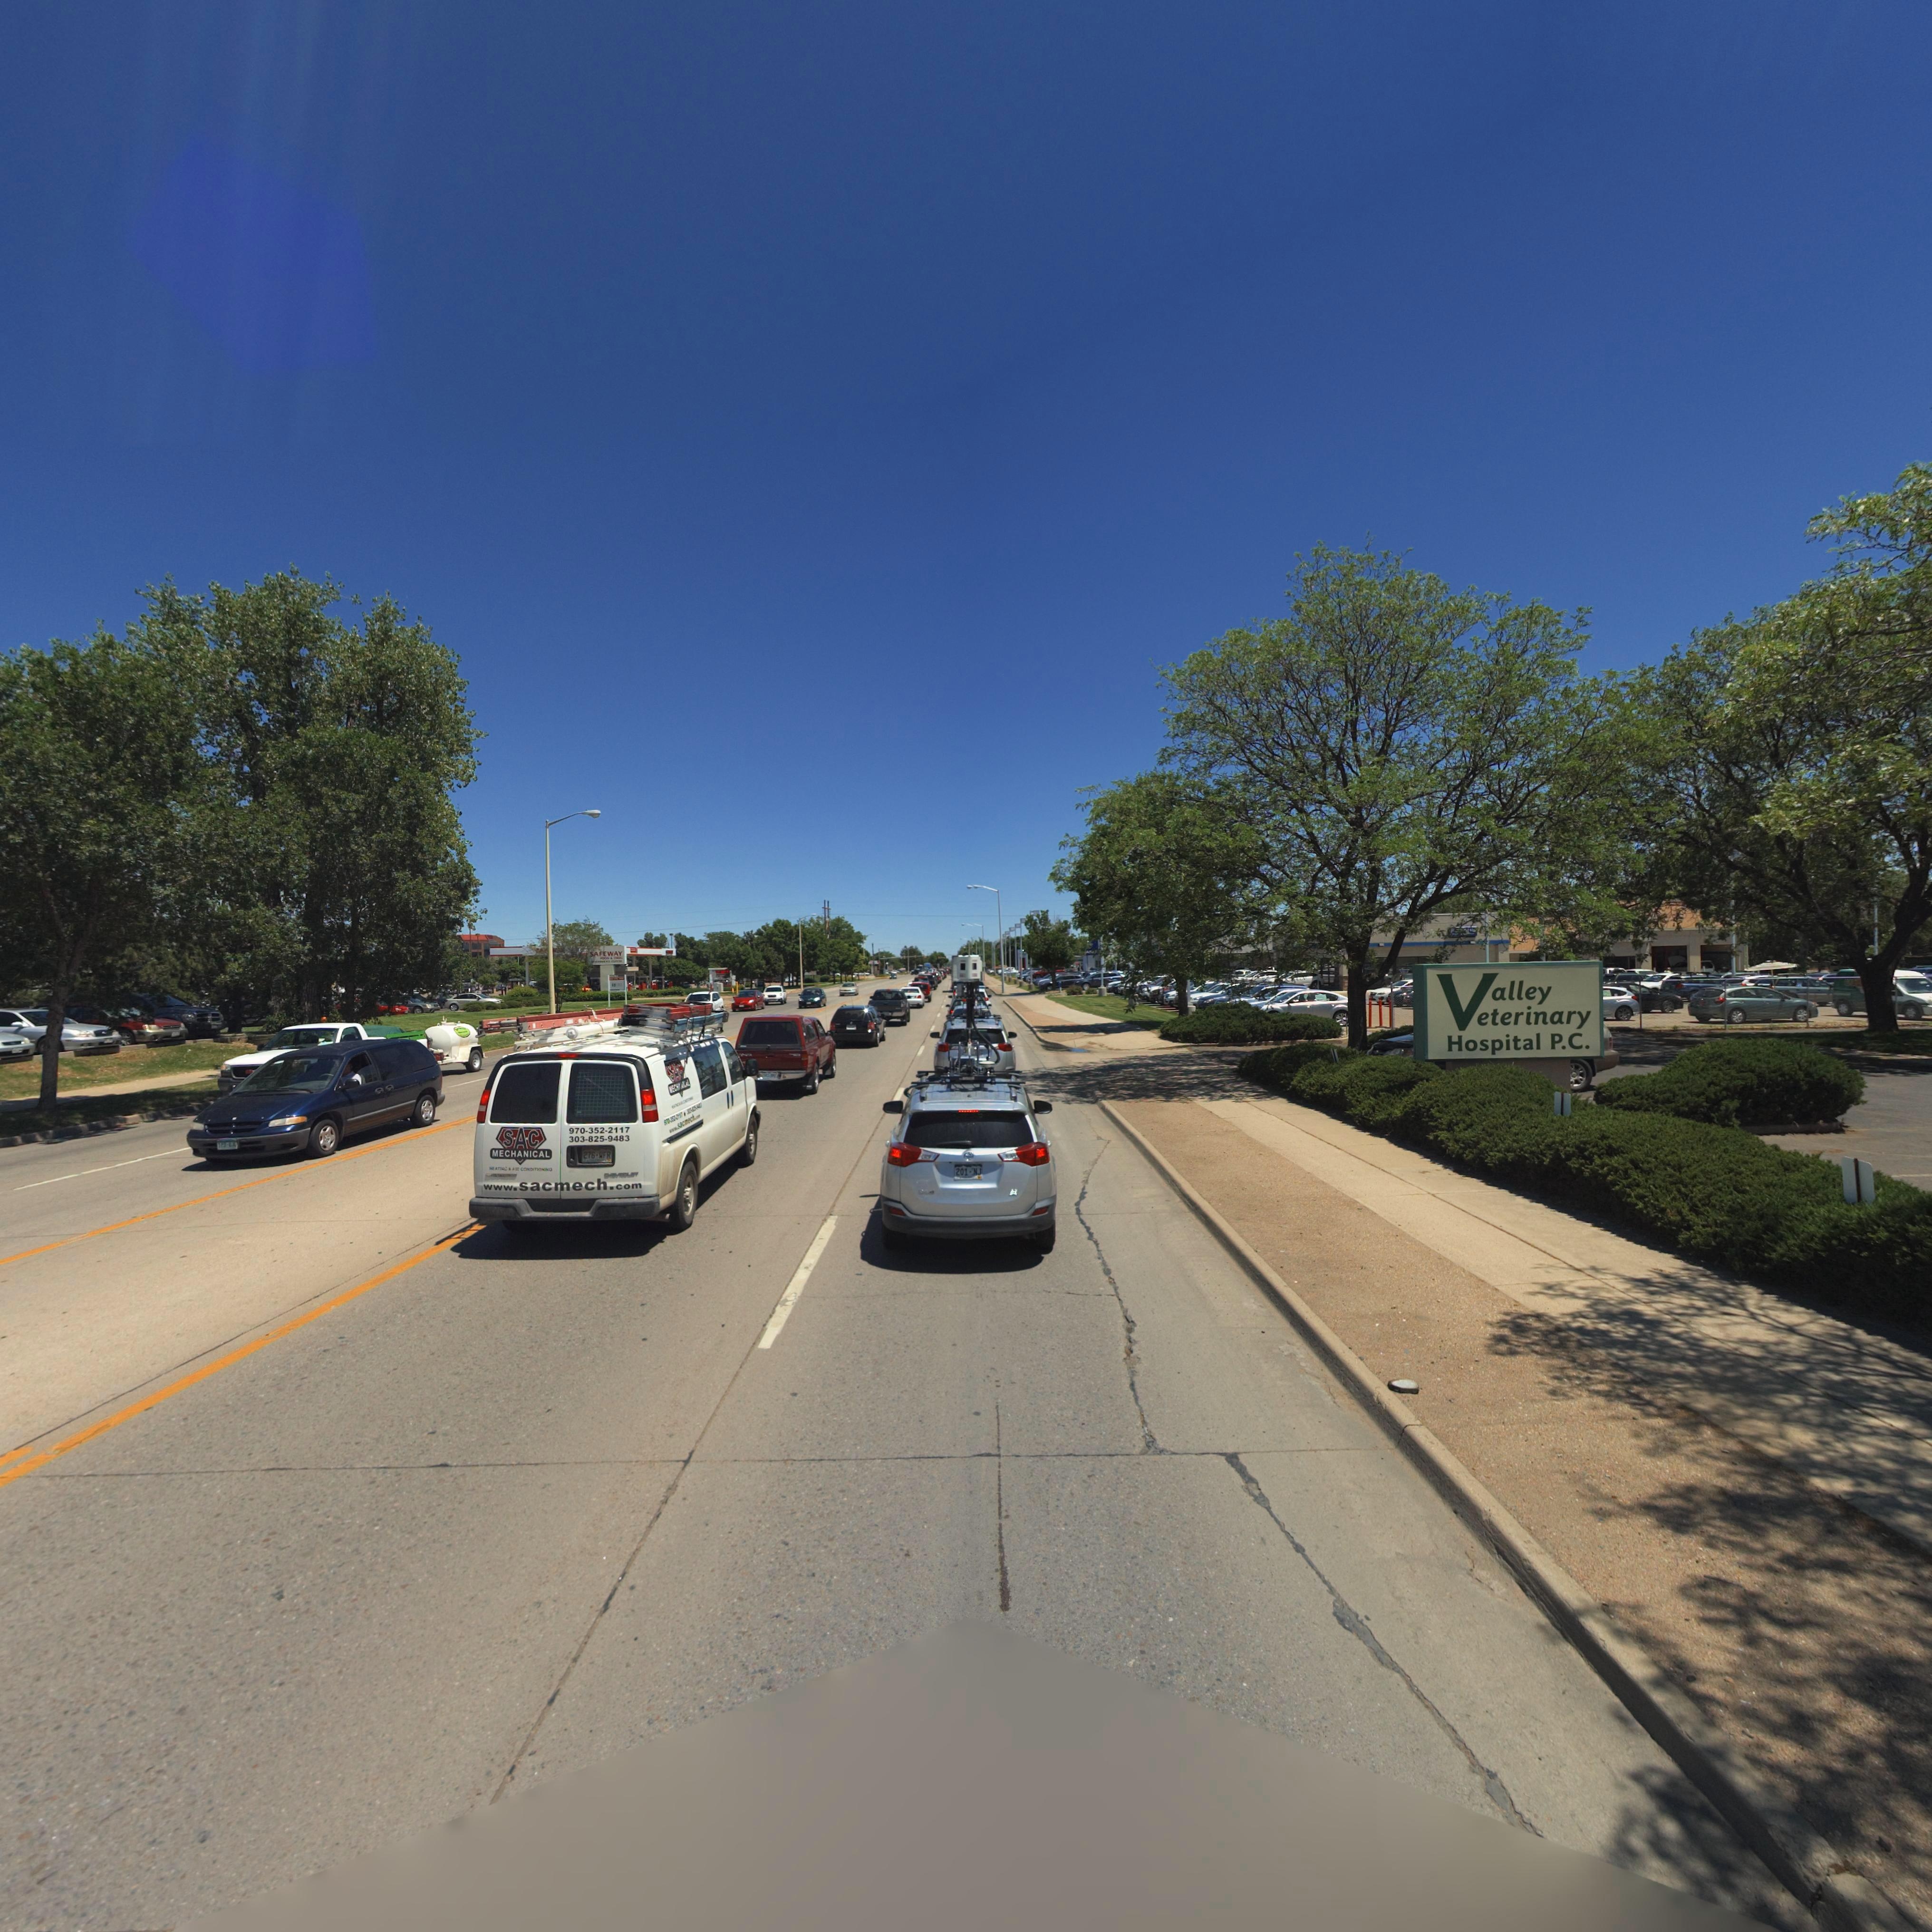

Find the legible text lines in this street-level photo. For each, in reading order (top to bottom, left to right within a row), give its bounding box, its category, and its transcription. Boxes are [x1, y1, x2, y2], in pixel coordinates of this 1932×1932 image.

[589, 950, 623, 957] BusinessName: SAFEWAY
[1085, 949, 1097, 954] BusinessName: A*U
[1436, 971, 1501, 1032] BusinessName: V
[1491, 979, 1552, 1005] BusinessName: alley
[1476, 1005, 1592, 1030] BusinessName: eterinary
[1447, 1032, 1584, 1055] BusinessName: Hospitial P.C